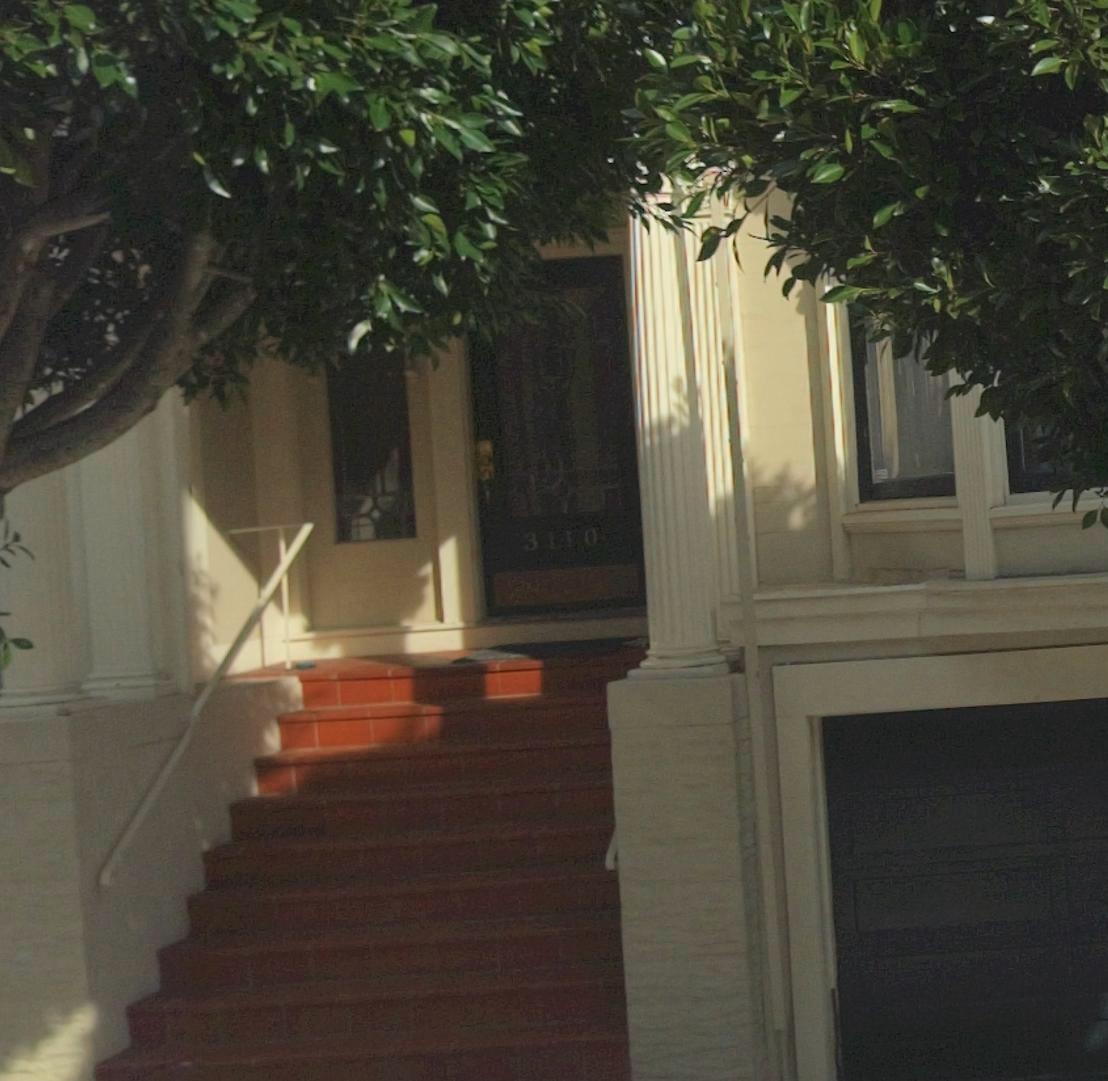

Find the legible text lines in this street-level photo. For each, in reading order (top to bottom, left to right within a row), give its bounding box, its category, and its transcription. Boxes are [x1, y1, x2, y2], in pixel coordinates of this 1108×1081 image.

[522, 525, 601, 554] StreetNumber: 3110